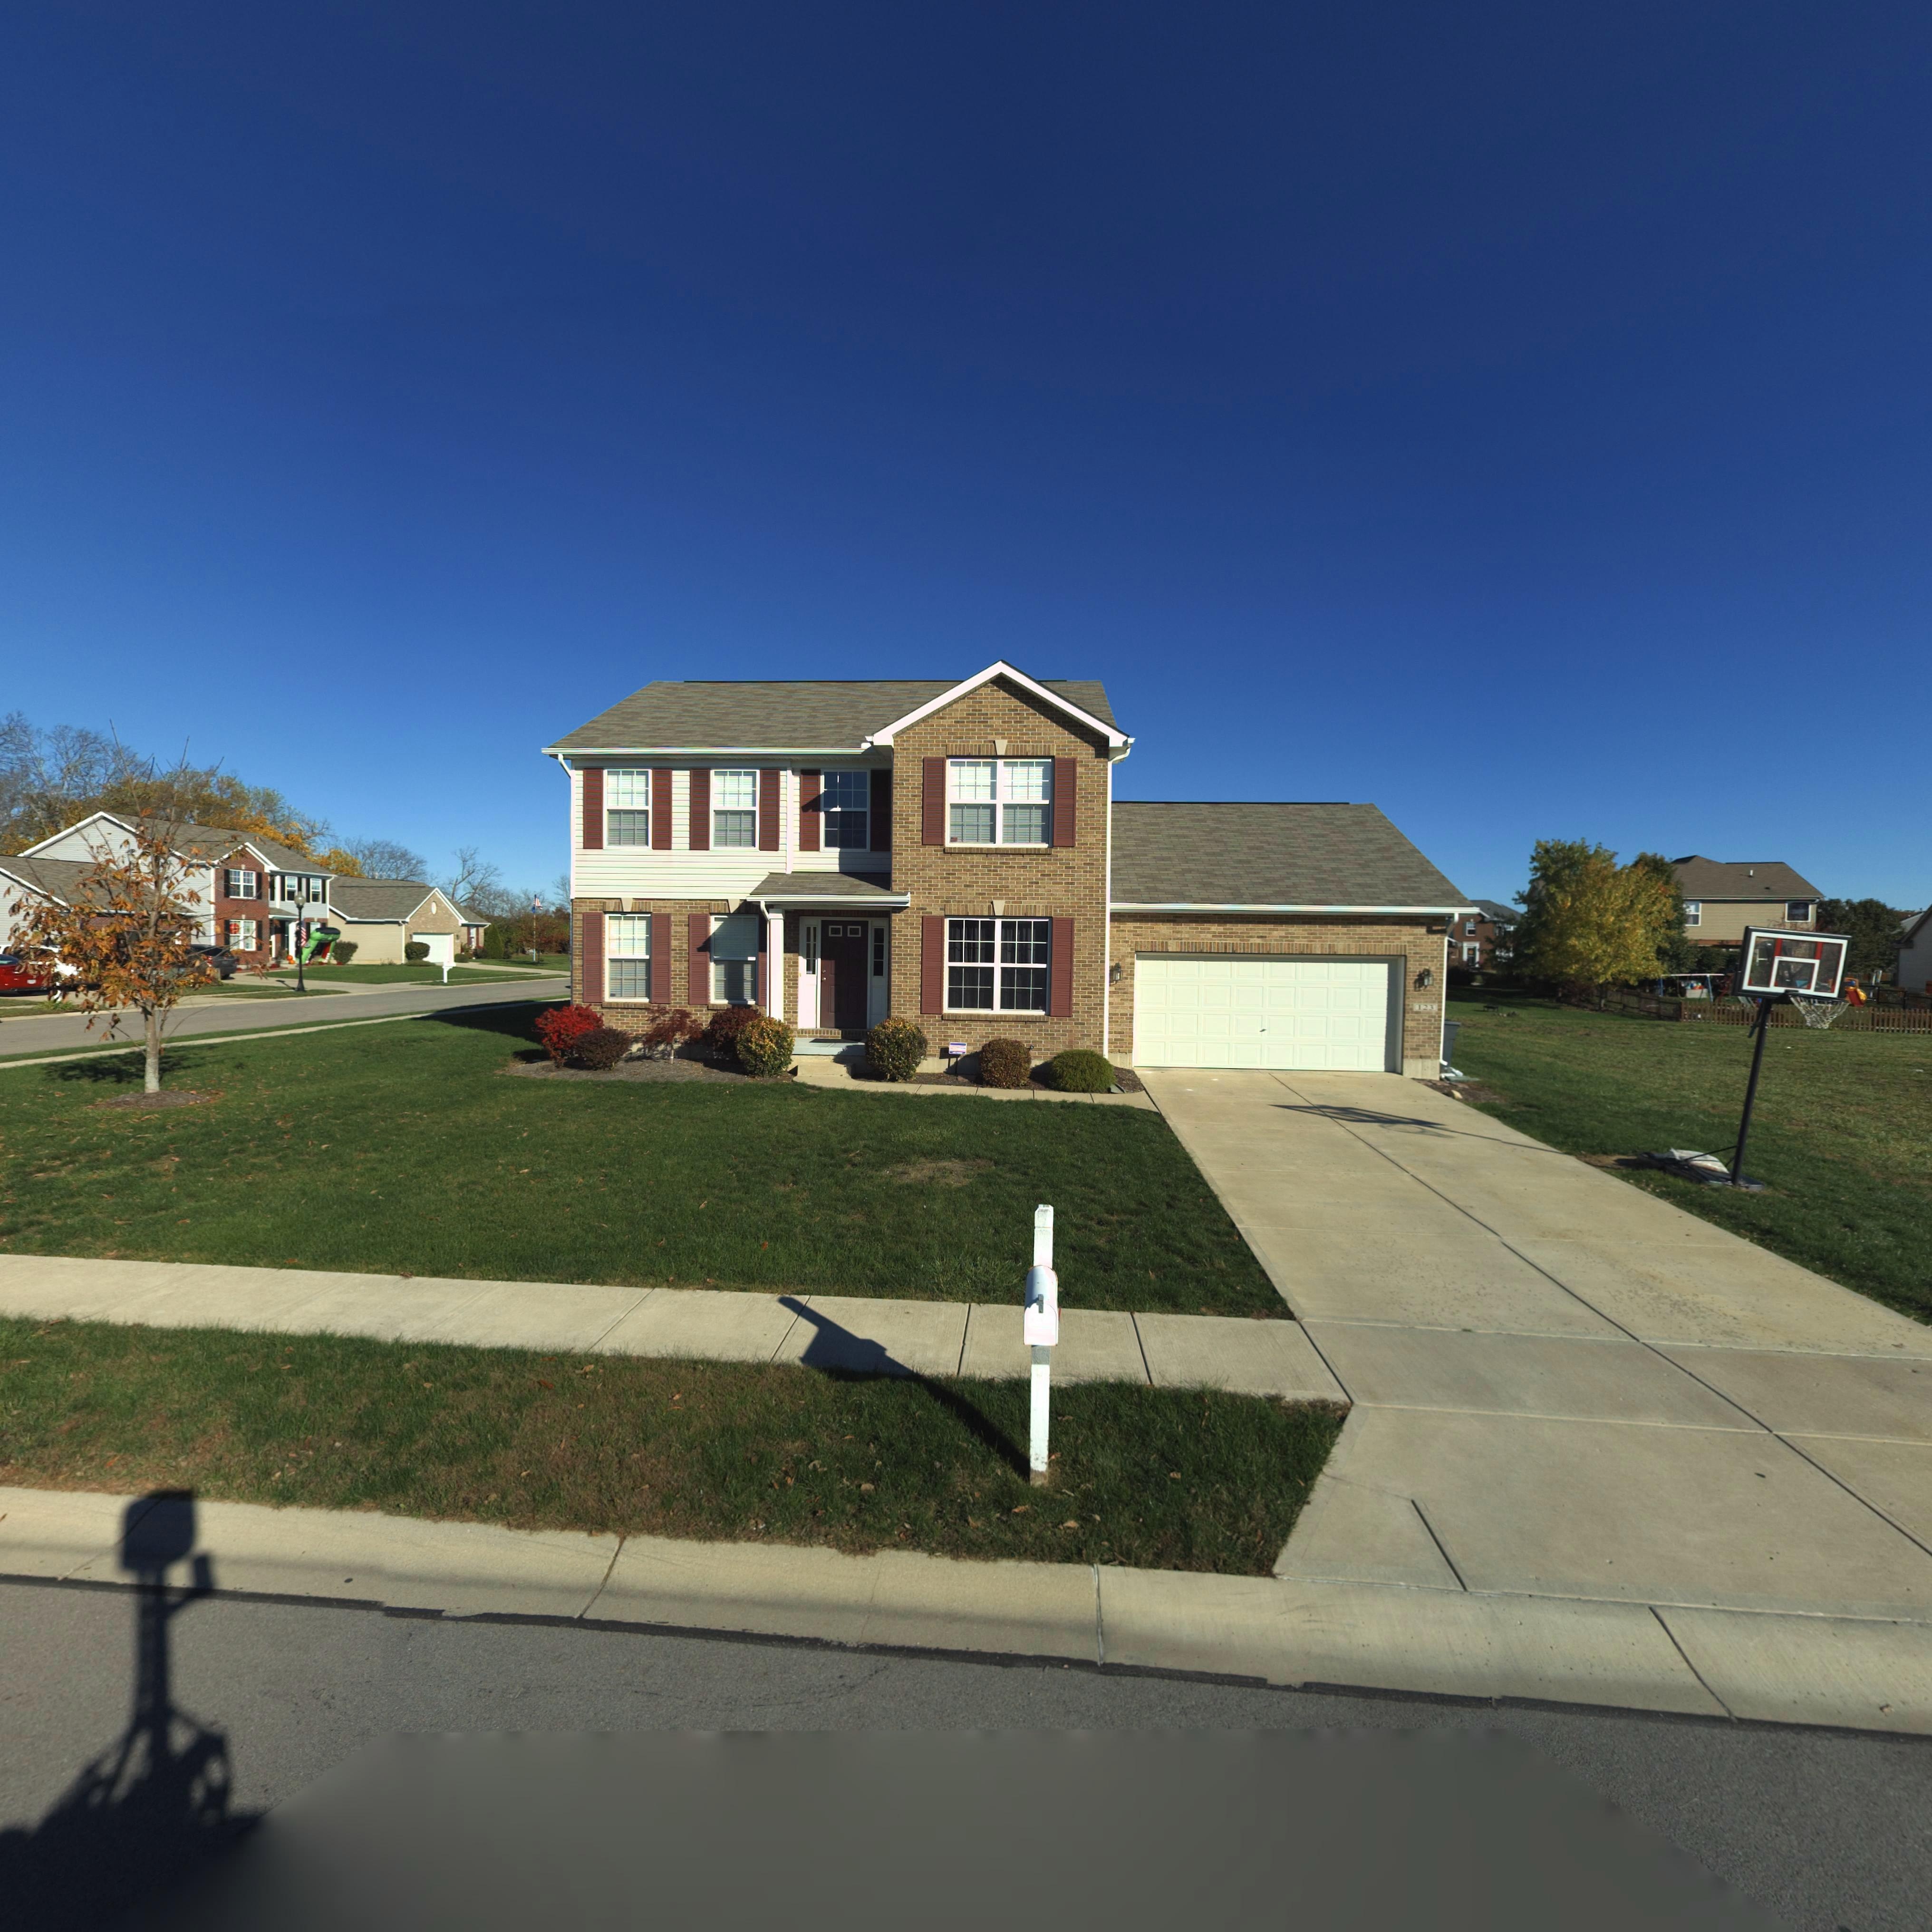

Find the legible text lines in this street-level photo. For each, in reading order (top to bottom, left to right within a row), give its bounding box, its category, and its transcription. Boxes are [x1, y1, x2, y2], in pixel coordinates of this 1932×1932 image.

[1416, 1004, 1434, 1011] StreetNumber: 123